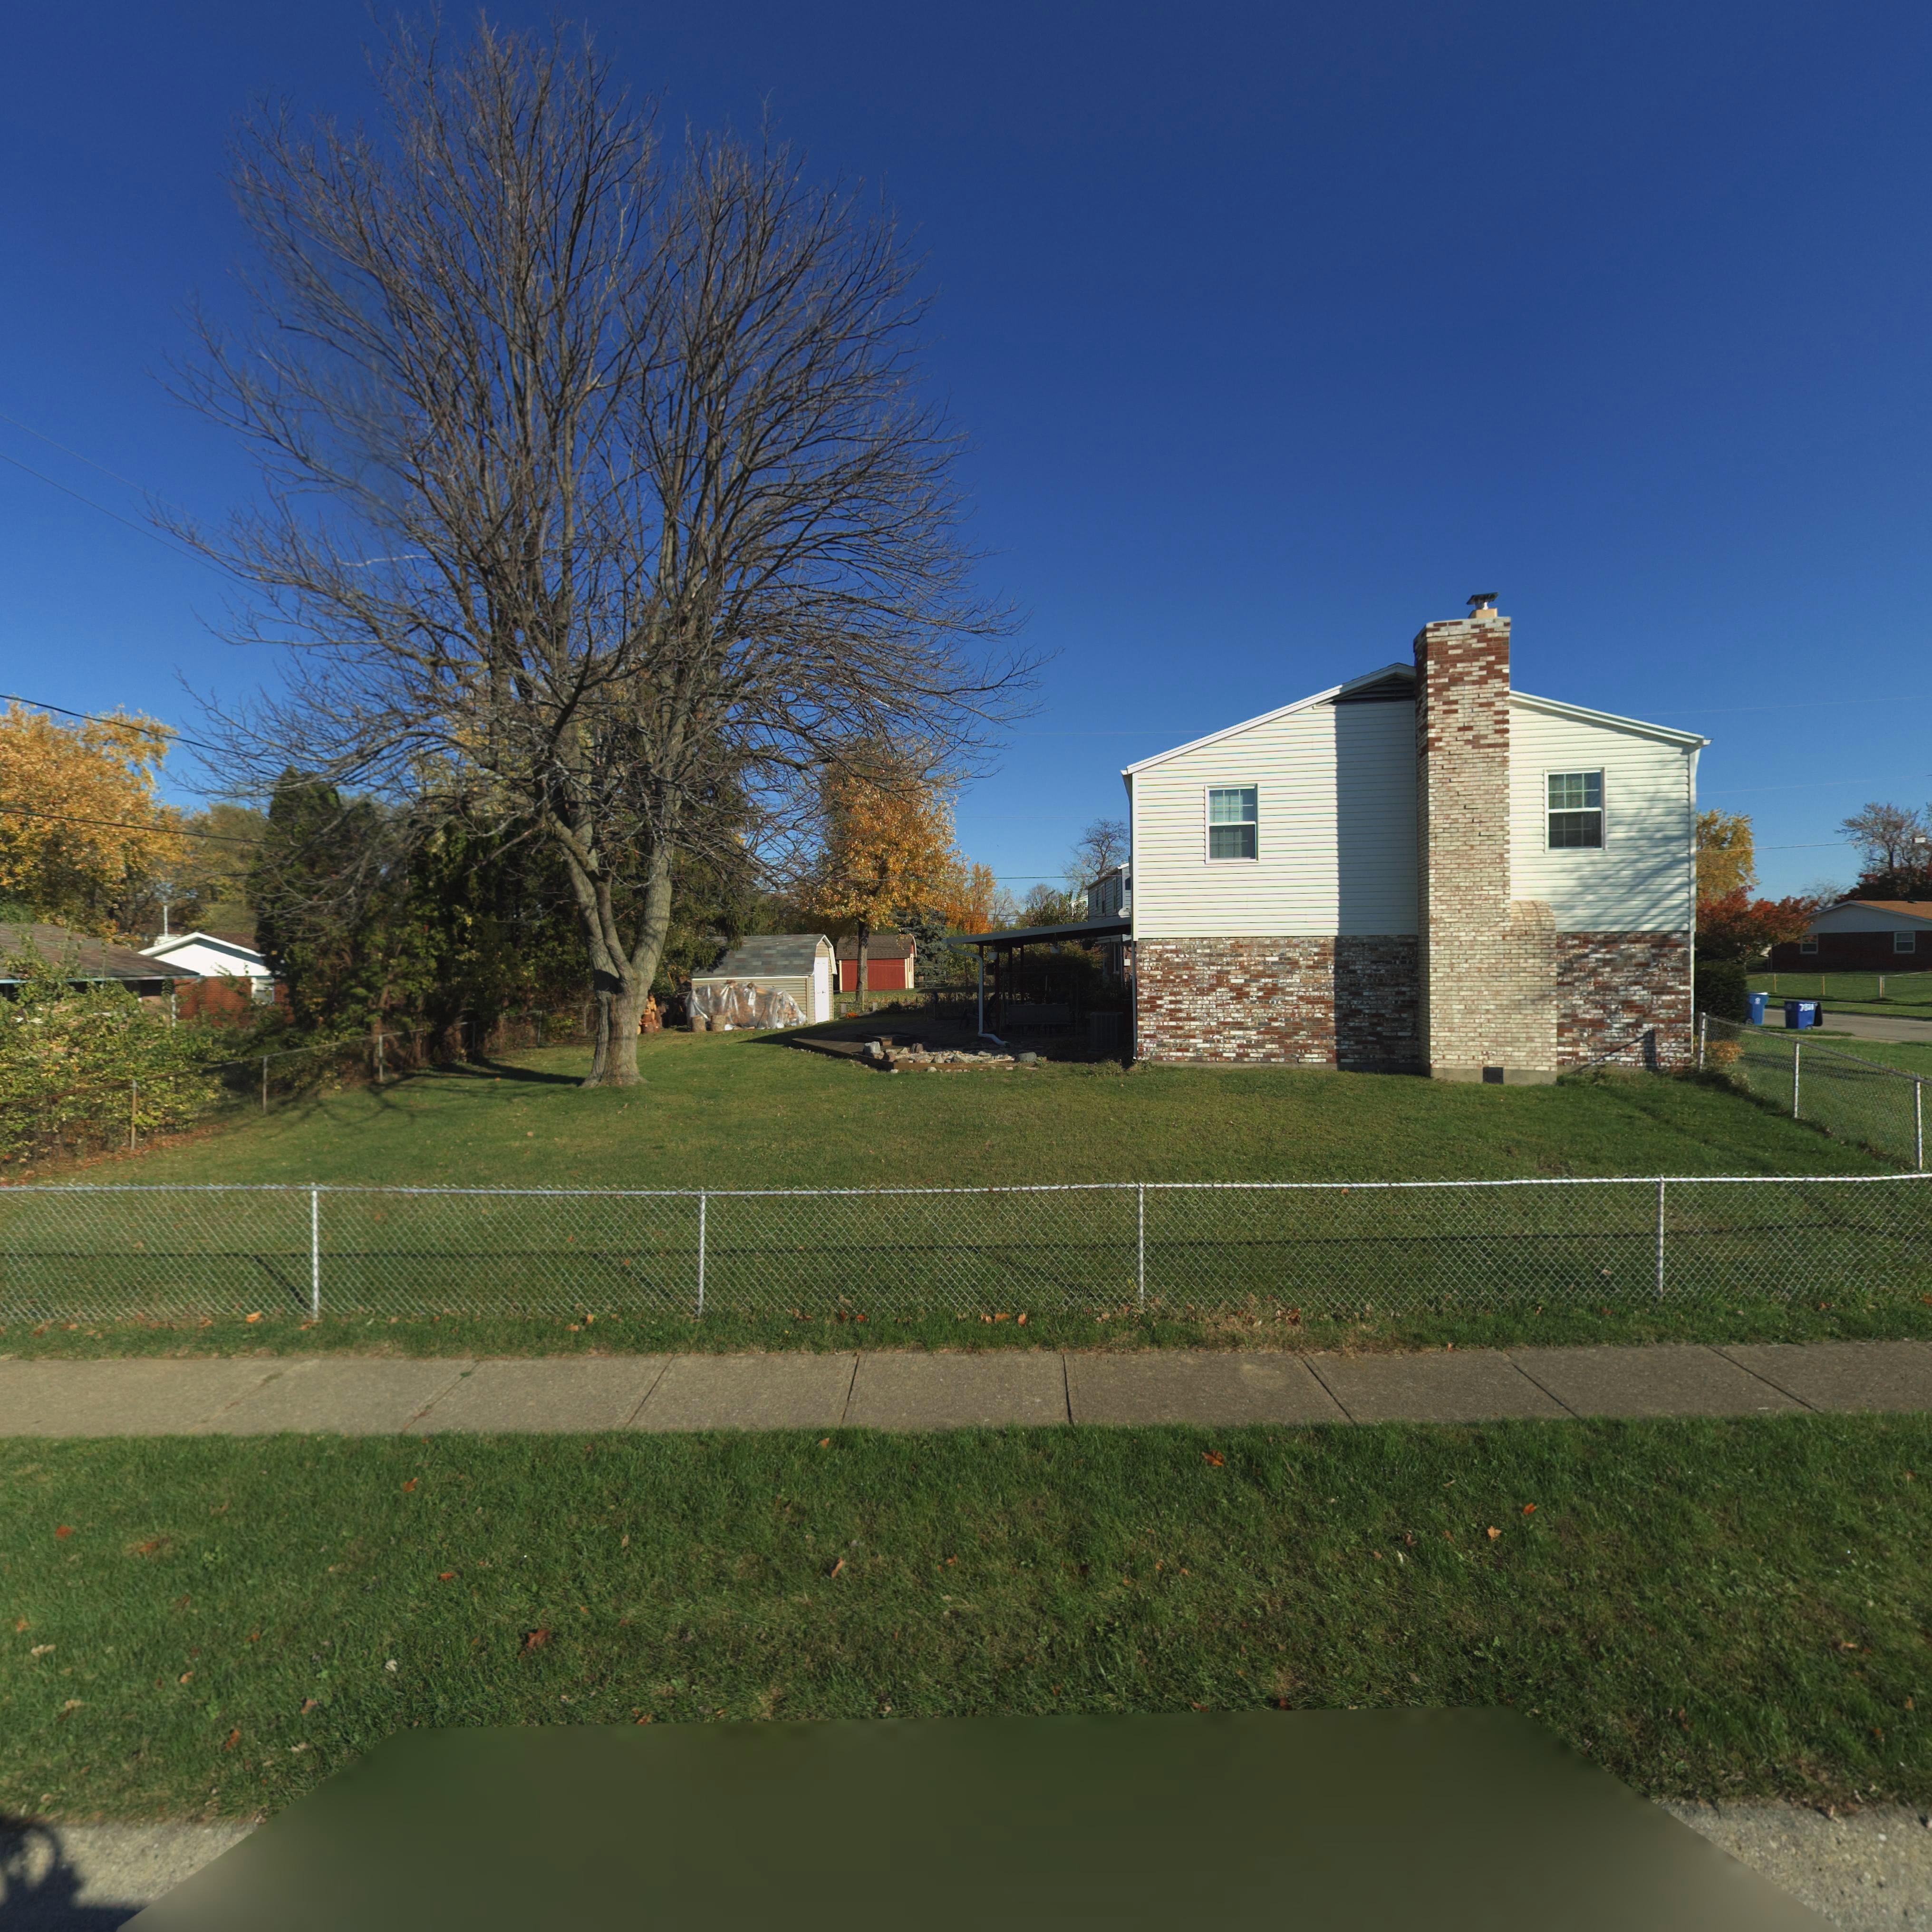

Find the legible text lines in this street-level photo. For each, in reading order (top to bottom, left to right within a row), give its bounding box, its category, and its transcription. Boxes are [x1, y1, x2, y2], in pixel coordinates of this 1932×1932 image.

[1798, 1003, 1815, 1012] StreetNumber: 7801